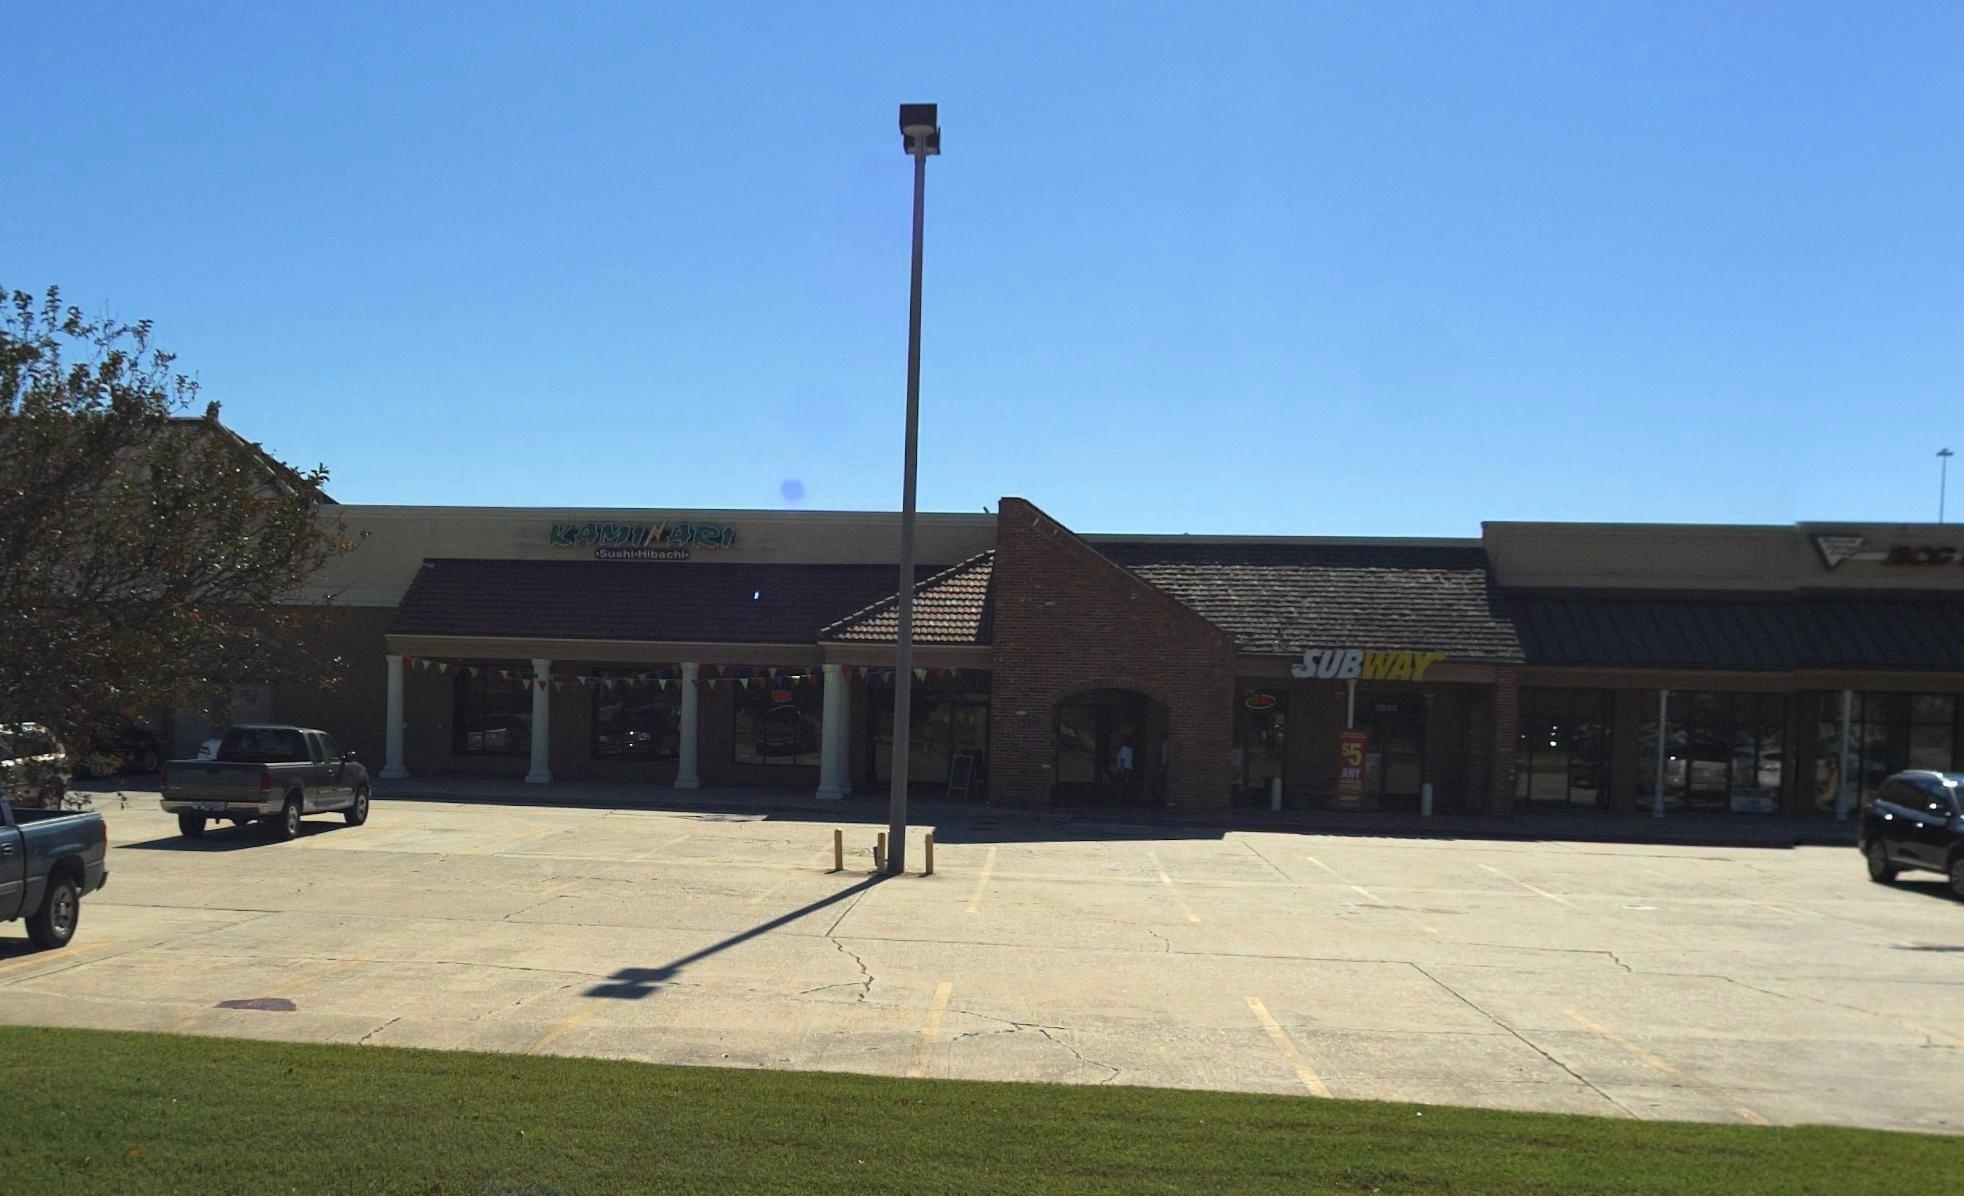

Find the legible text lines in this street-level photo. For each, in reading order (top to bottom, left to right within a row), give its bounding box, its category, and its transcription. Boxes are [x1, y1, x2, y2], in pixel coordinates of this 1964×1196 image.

[548, 522, 736, 549] BusinessName: KAMINARI
[599, 549, 686, 559] None: Sushi-Hibachi
[1882, 543, 1957, 569] BusinessName: BOC
[1290, 647, 1448, 682] BusinessName: SUBWAY
[1348, 742, 1364, 768] None: 5
[1340, 766, 1362, 779] None: ANY